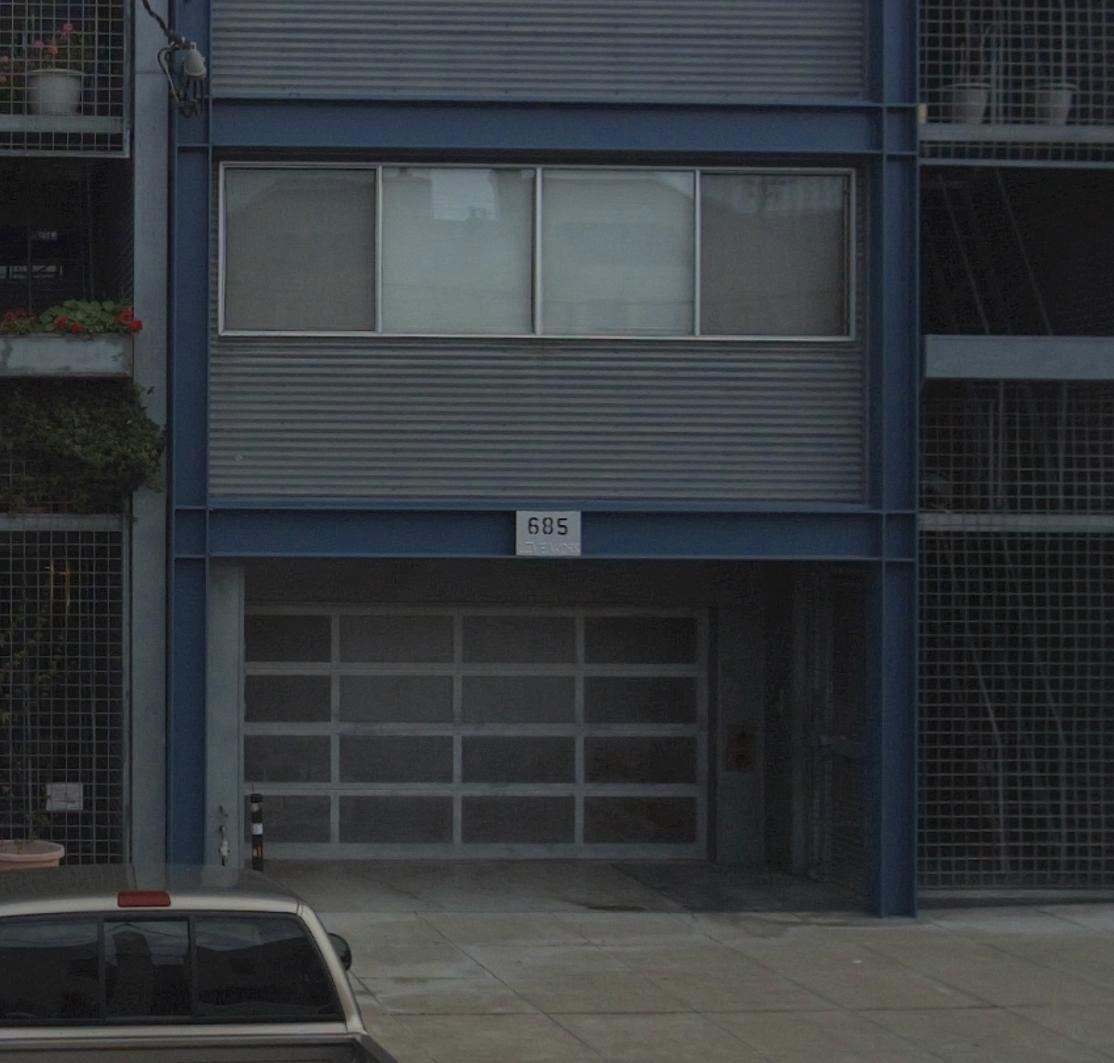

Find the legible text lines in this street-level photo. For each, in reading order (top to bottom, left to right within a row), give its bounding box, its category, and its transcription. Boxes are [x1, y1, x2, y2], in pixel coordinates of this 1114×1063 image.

[526, 515, 571, 536] StreetNumber: 685